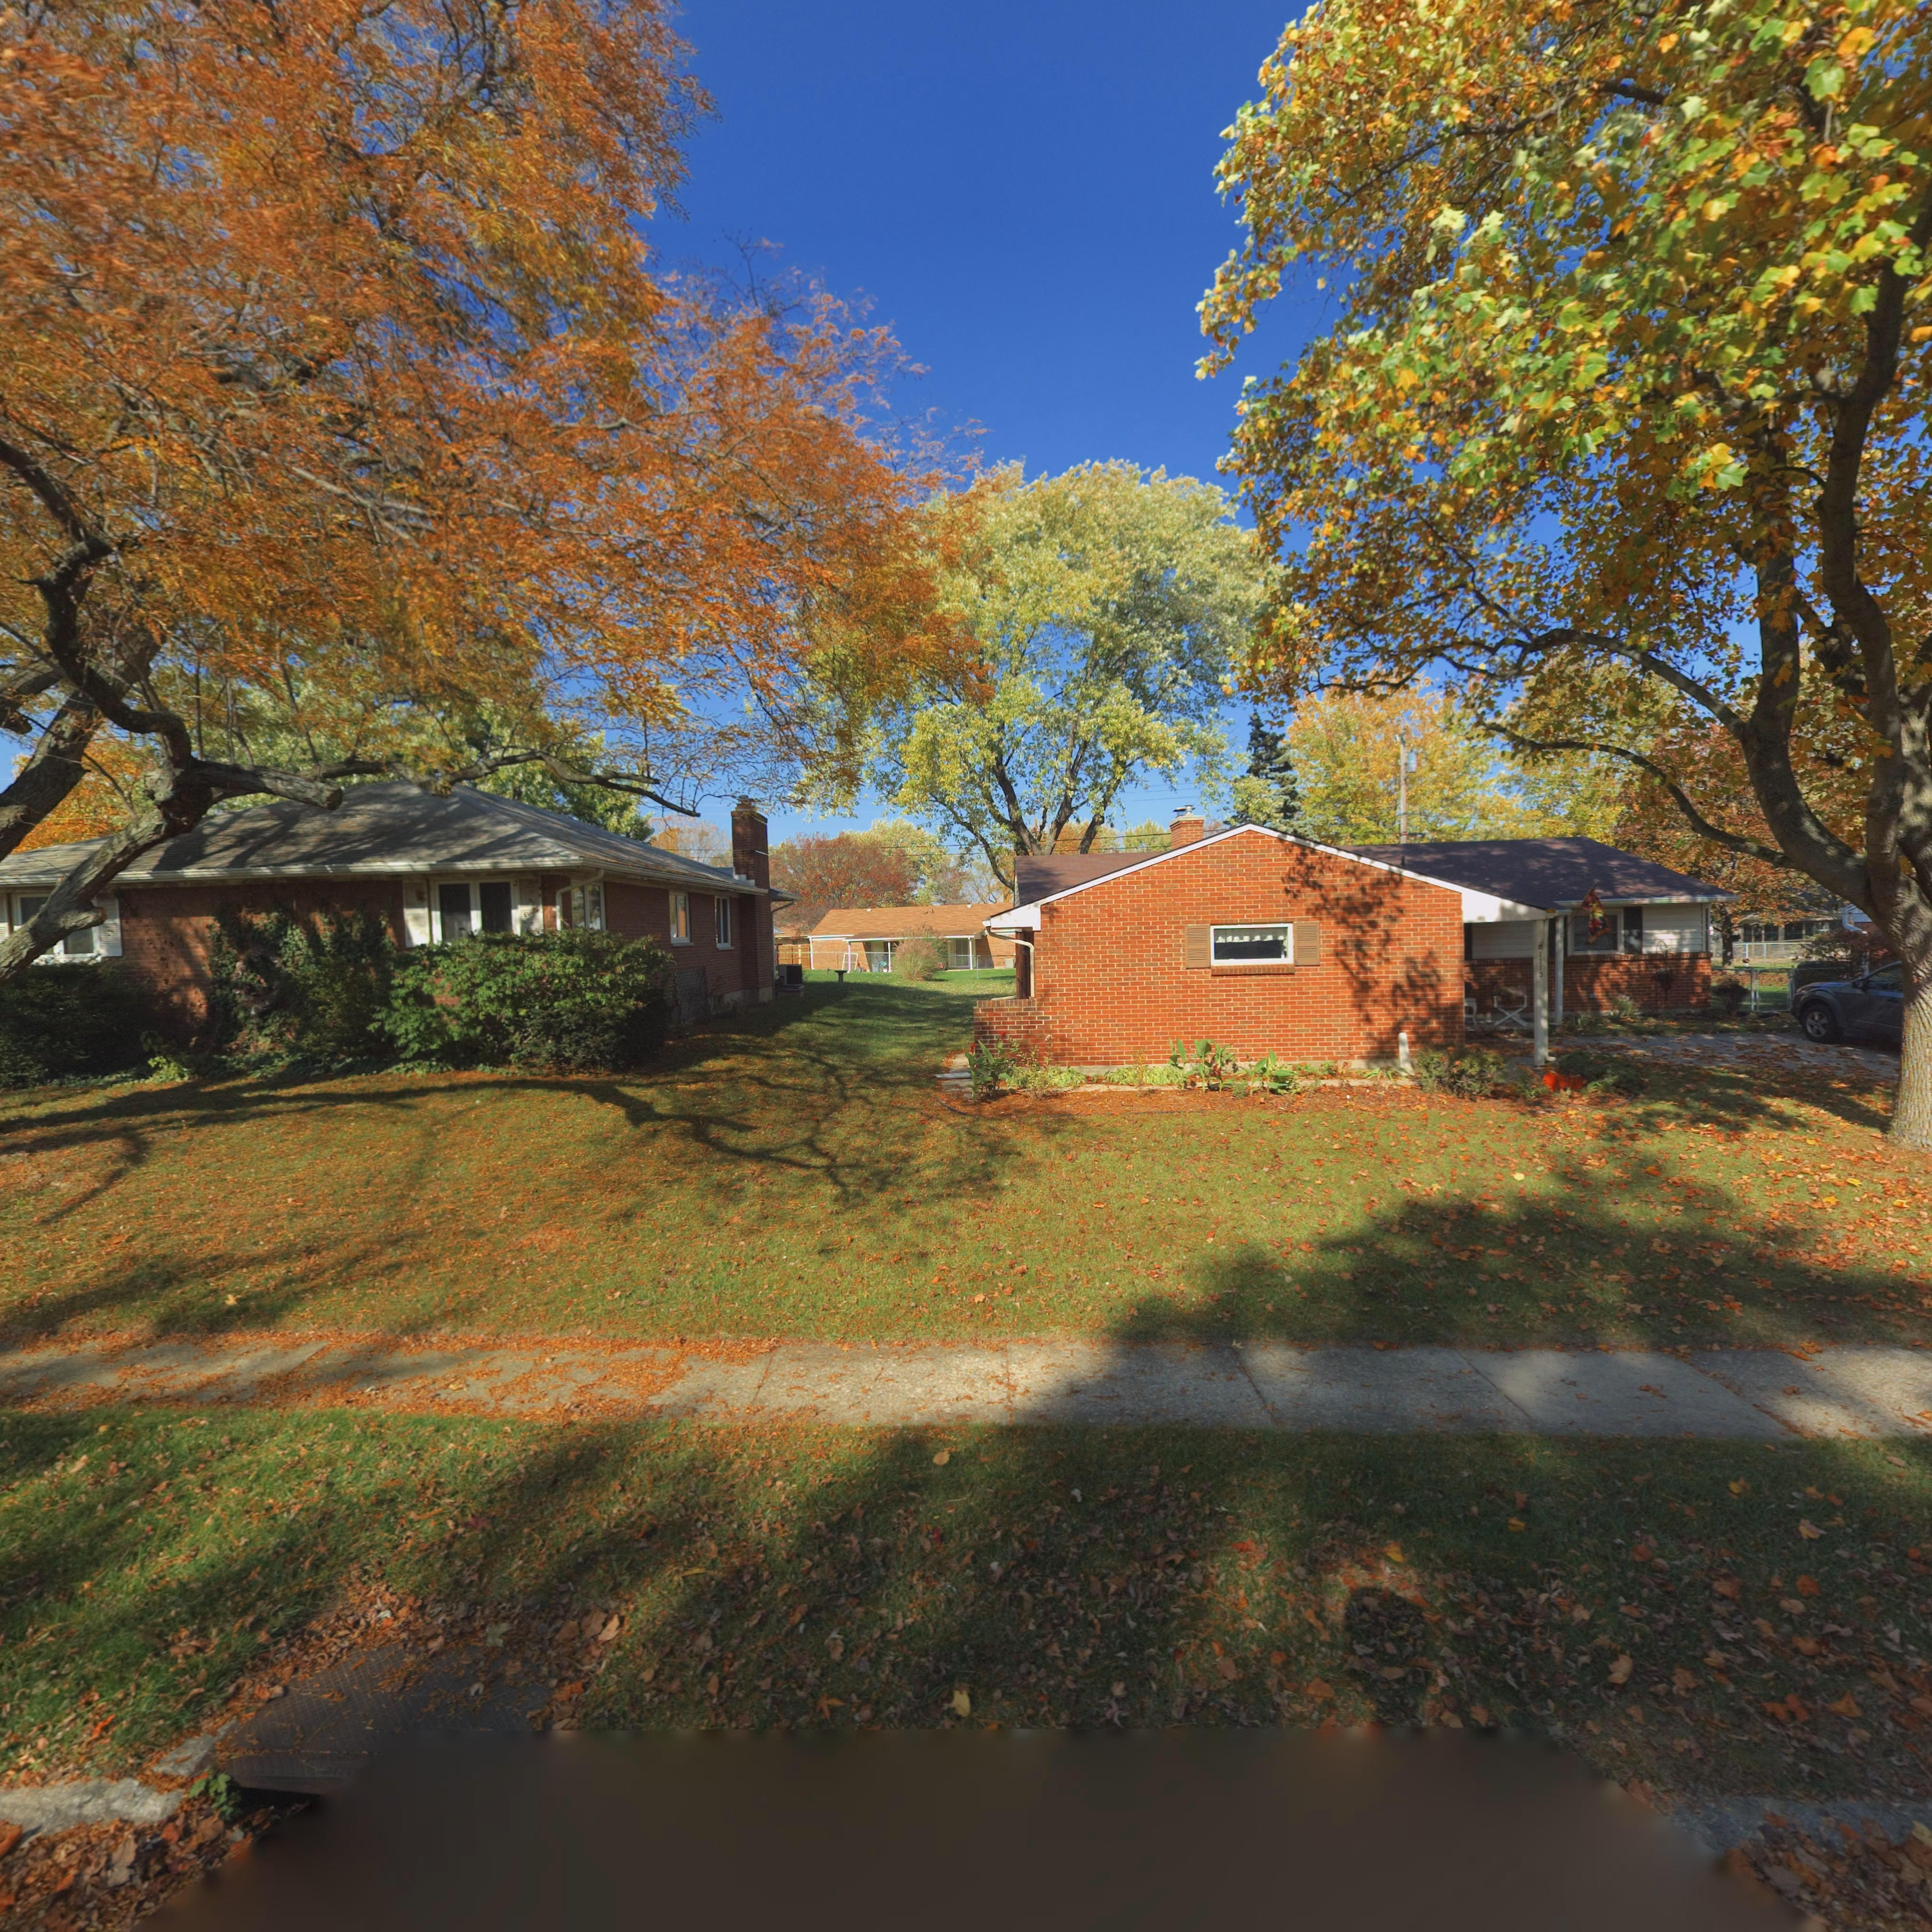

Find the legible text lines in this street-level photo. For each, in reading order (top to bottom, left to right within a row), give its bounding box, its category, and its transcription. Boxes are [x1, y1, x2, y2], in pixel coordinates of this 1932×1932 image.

[1538, 949, 1544, 979] StreetNumber: 1113